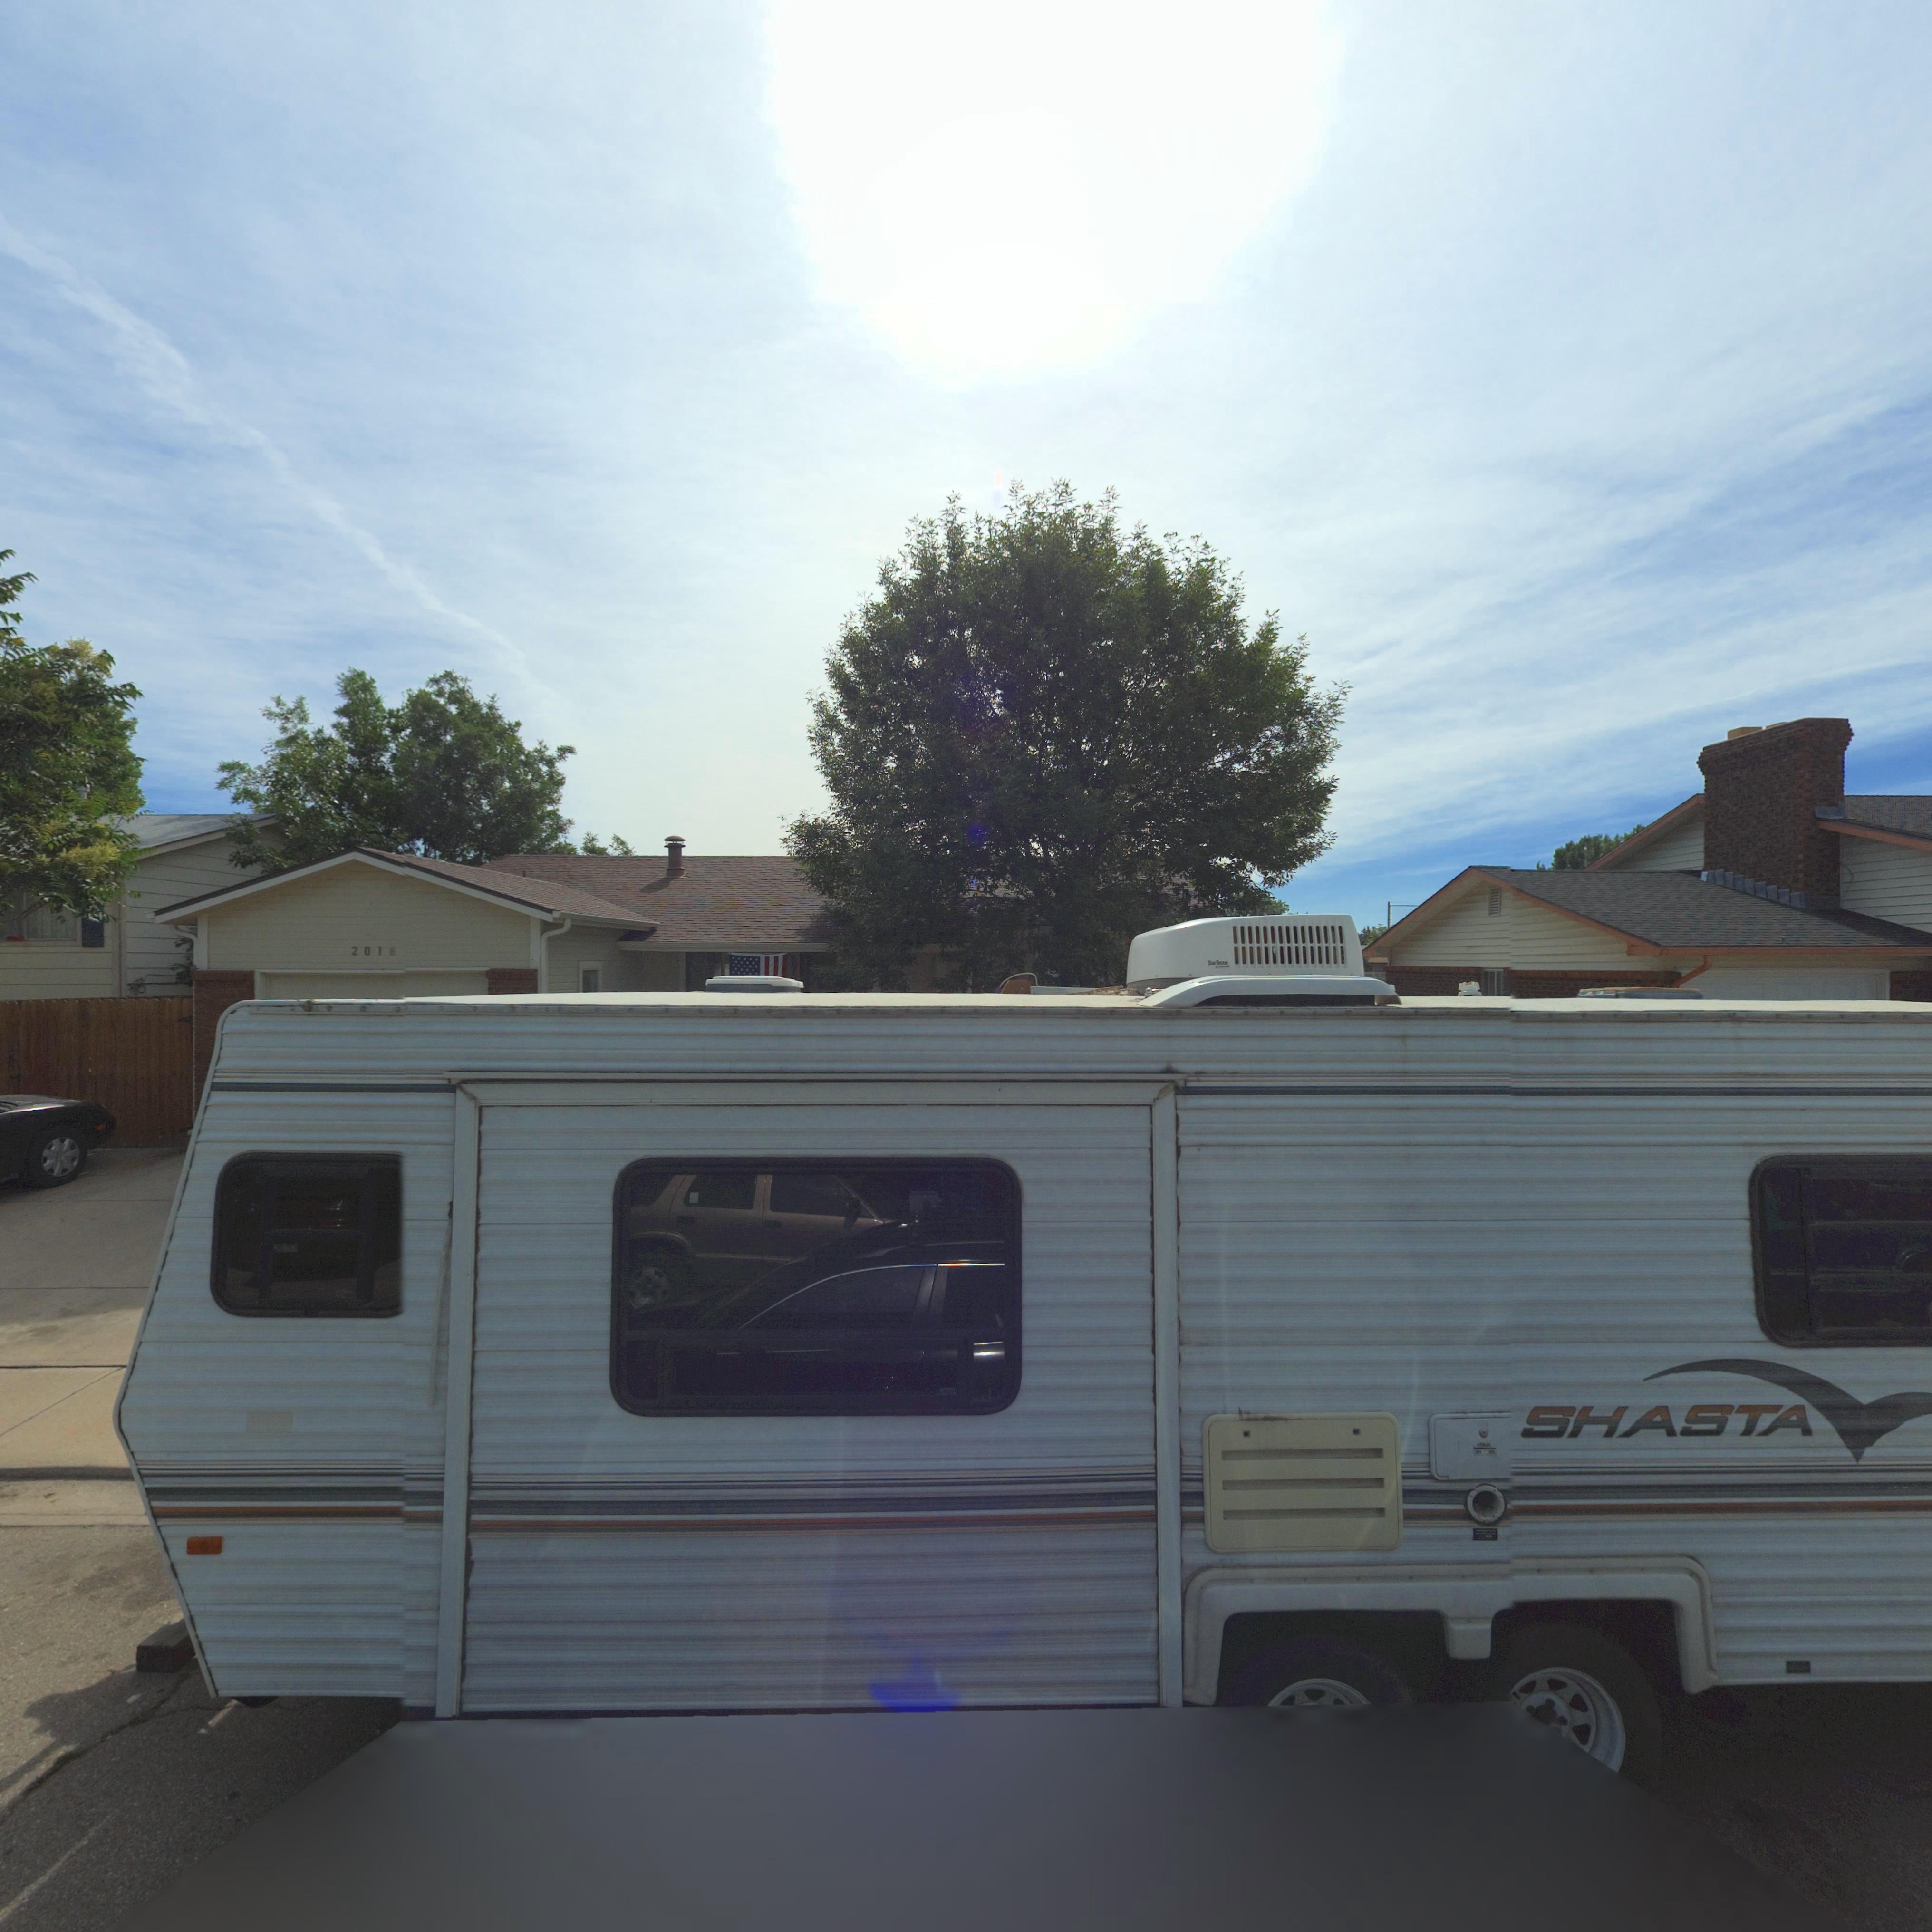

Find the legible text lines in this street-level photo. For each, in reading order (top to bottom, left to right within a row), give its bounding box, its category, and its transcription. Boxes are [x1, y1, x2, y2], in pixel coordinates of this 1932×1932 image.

[350, 945, 396, 956] StreetNumber: 2018